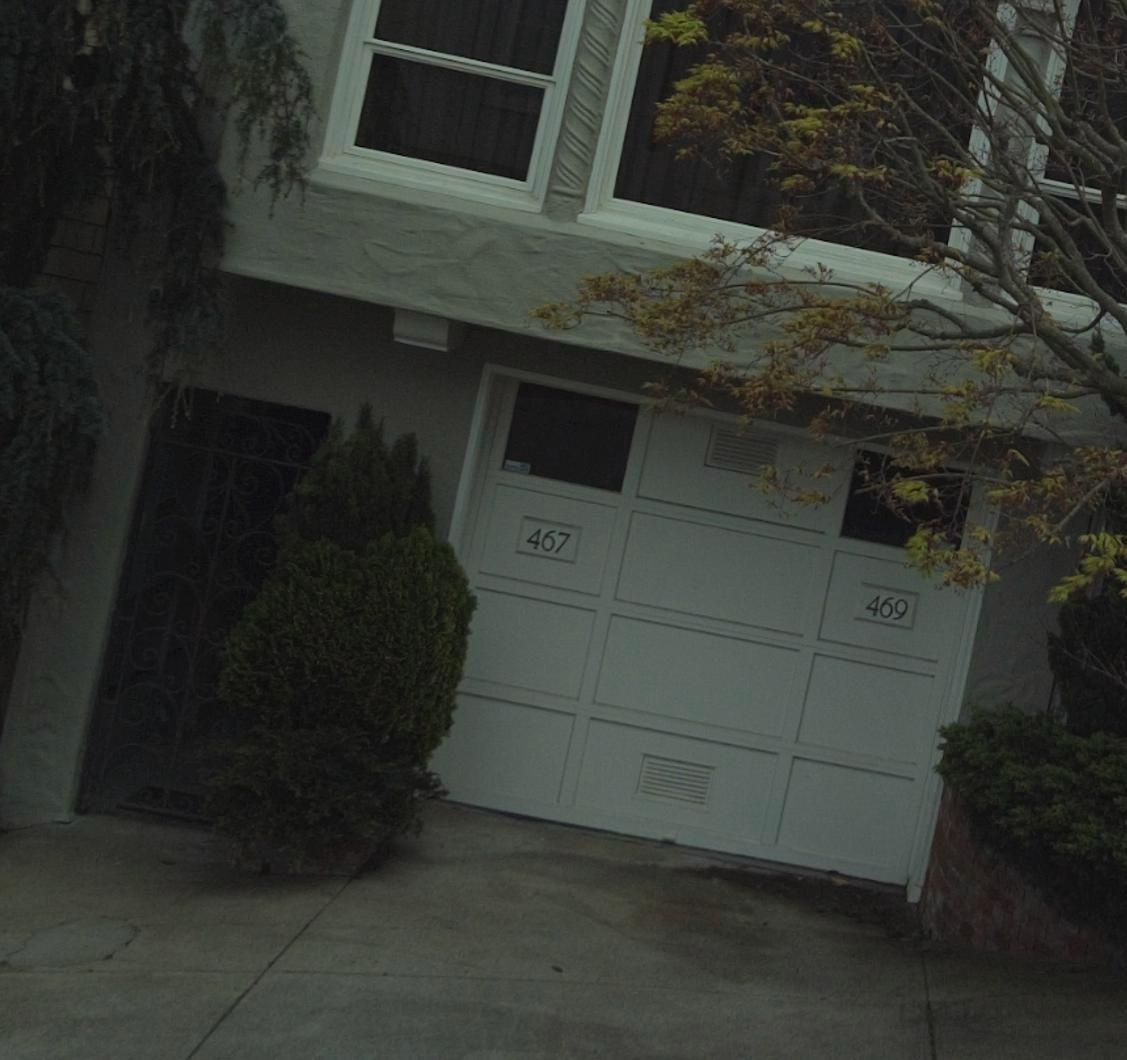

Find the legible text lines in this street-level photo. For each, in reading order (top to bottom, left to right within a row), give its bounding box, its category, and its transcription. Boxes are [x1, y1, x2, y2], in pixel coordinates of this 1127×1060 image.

[523, 524, 575, 555] StreetNumber: 467
[860, 593, 910, 623] StreetNumber: 469